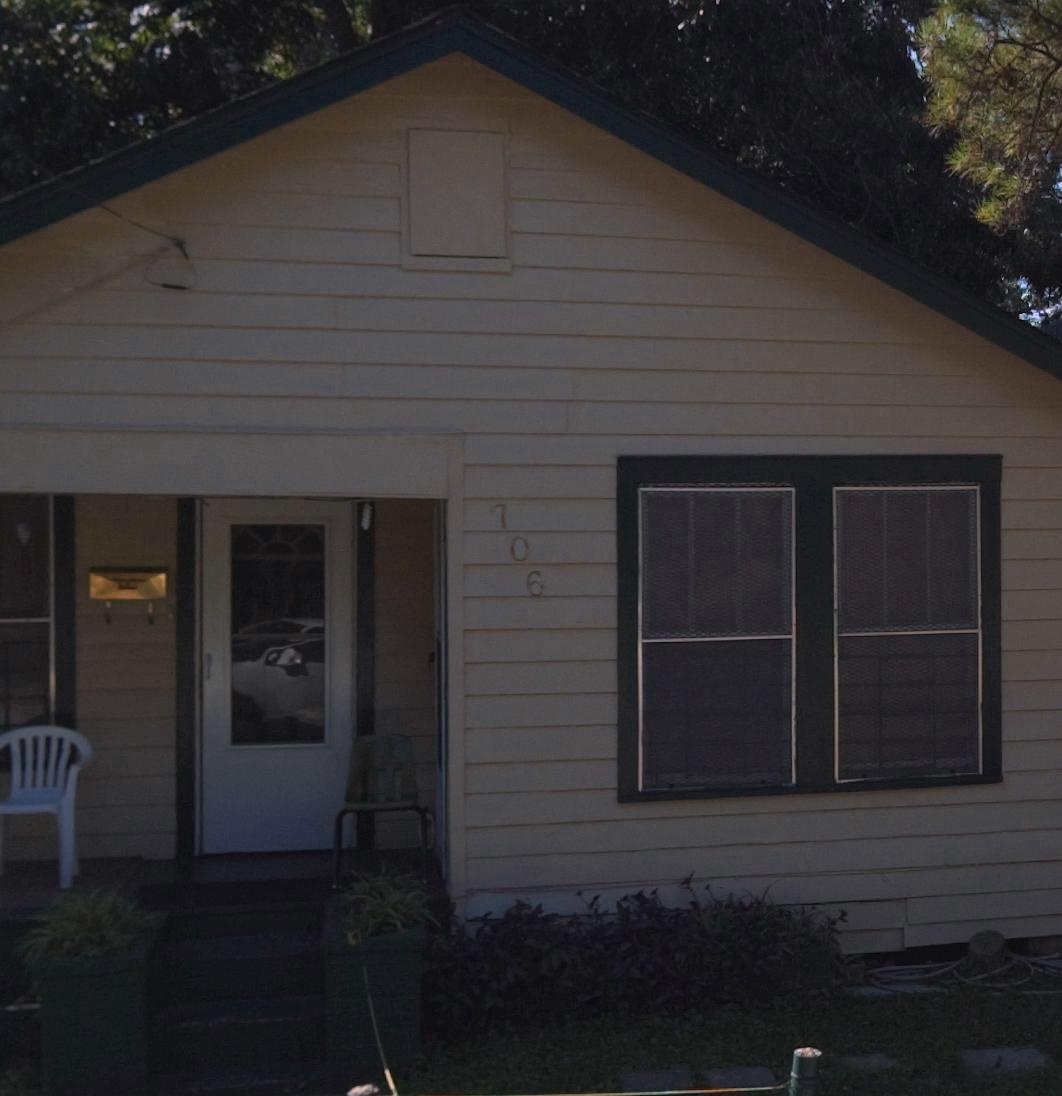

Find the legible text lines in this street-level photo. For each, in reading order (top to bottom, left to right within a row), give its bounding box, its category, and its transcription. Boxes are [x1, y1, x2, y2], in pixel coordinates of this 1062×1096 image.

[491, 500, 550, 609] StreetNumber: 706